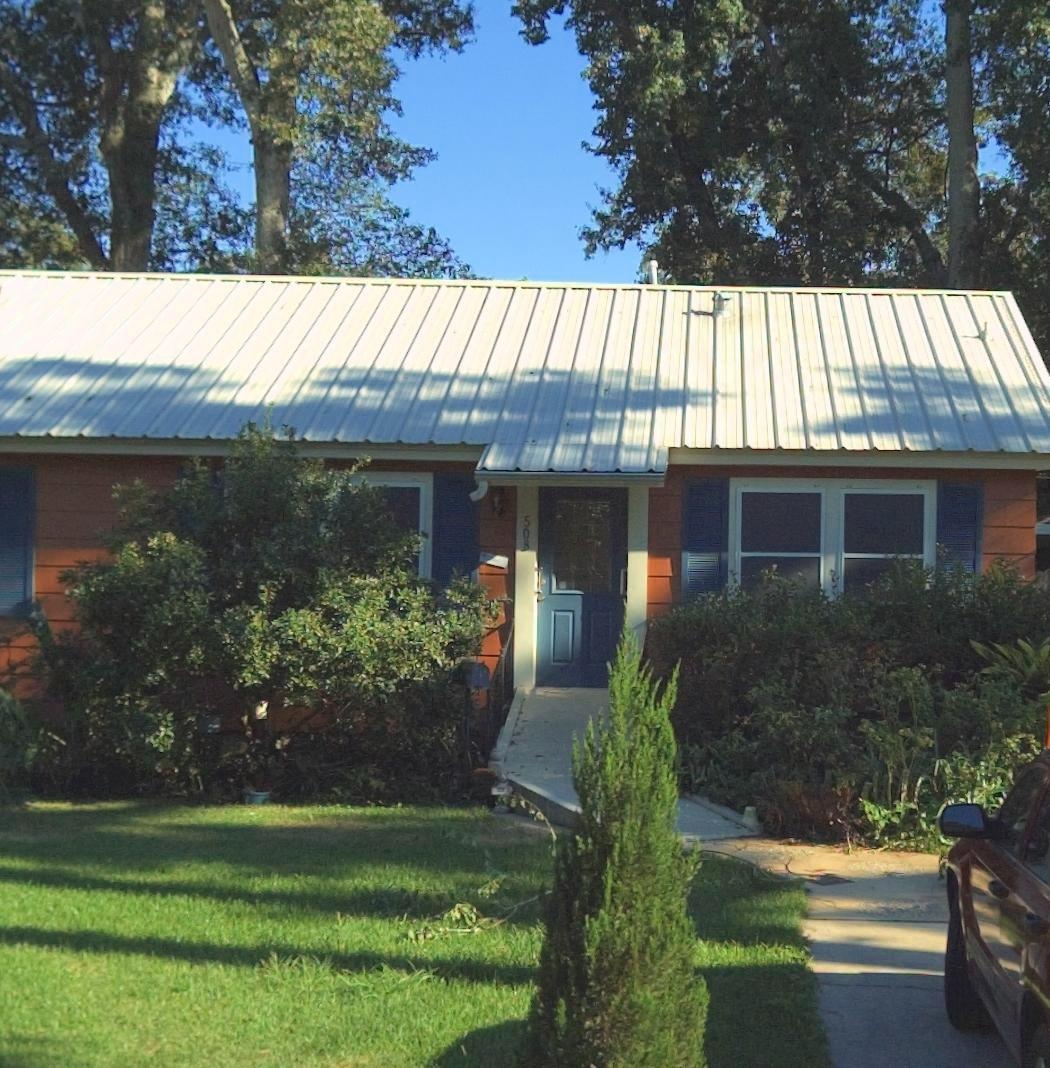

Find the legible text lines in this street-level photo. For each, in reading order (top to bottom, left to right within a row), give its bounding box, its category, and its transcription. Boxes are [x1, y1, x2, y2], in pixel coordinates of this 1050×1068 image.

[520, 513, 533, 554] StreetNumber: 508